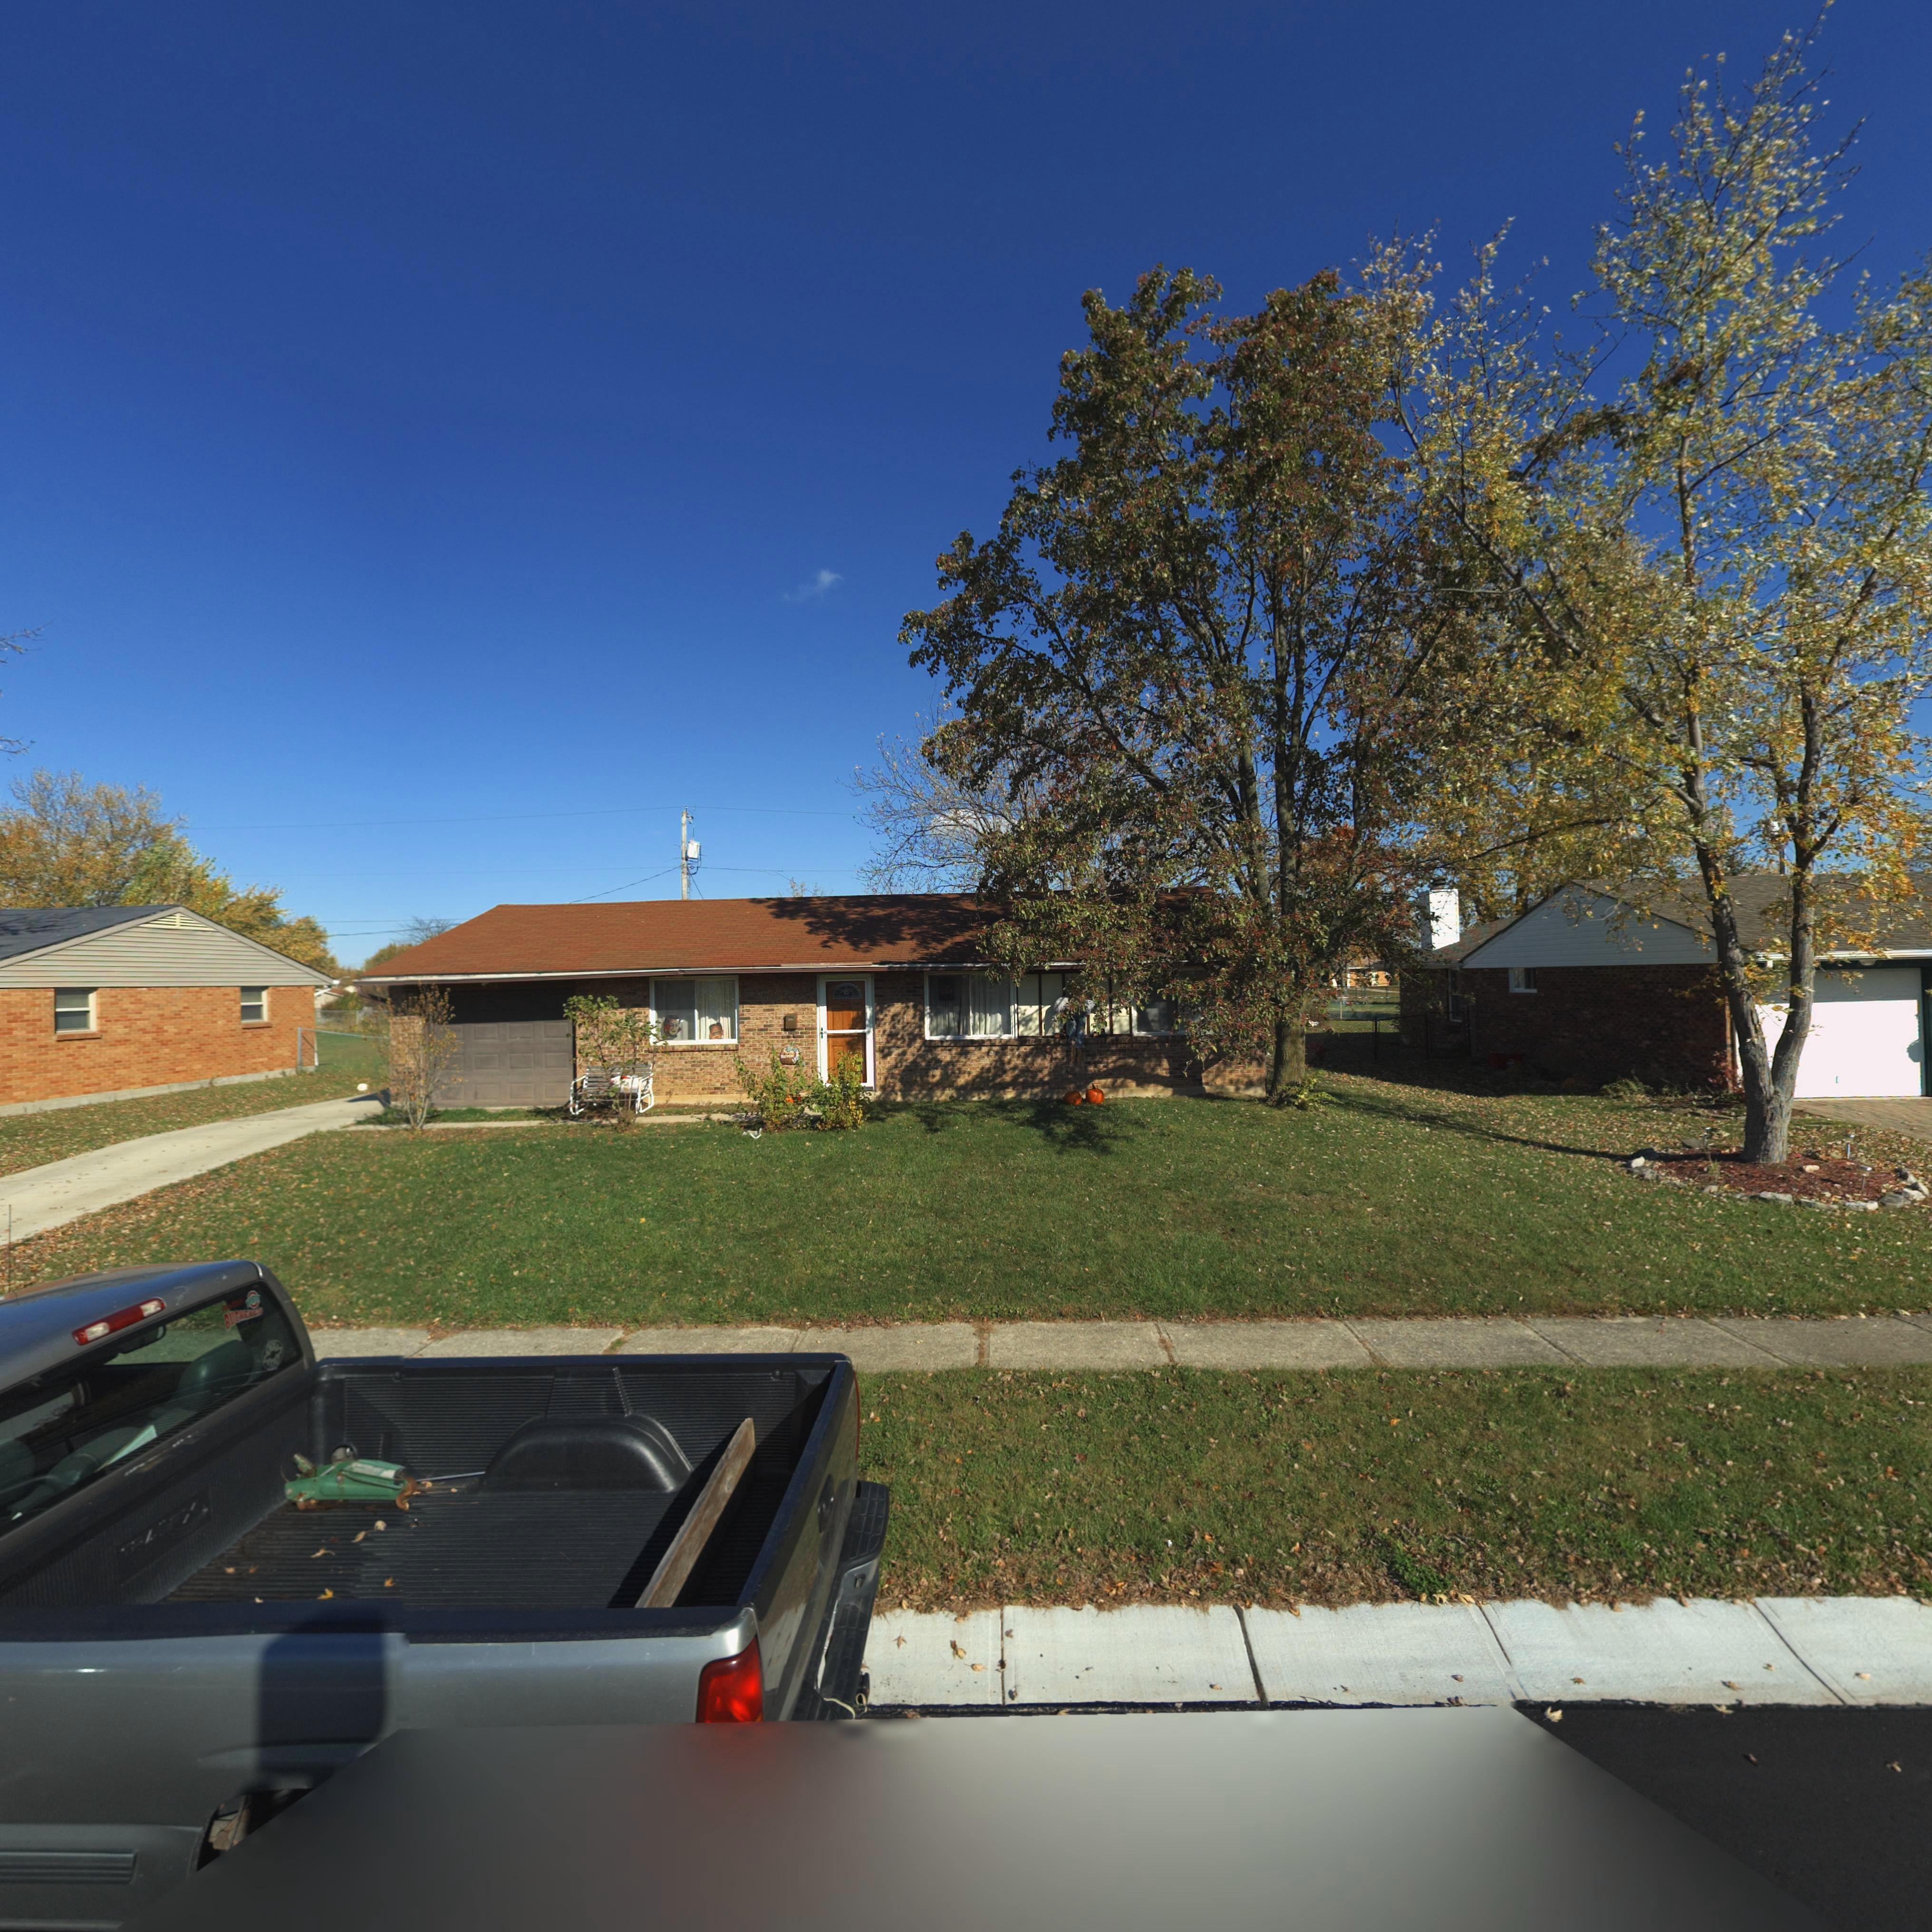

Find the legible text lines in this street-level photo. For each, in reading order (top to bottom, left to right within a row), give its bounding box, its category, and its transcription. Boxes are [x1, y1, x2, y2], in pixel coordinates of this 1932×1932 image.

[1876, 959, 1884, 969] StreetNumber: 9